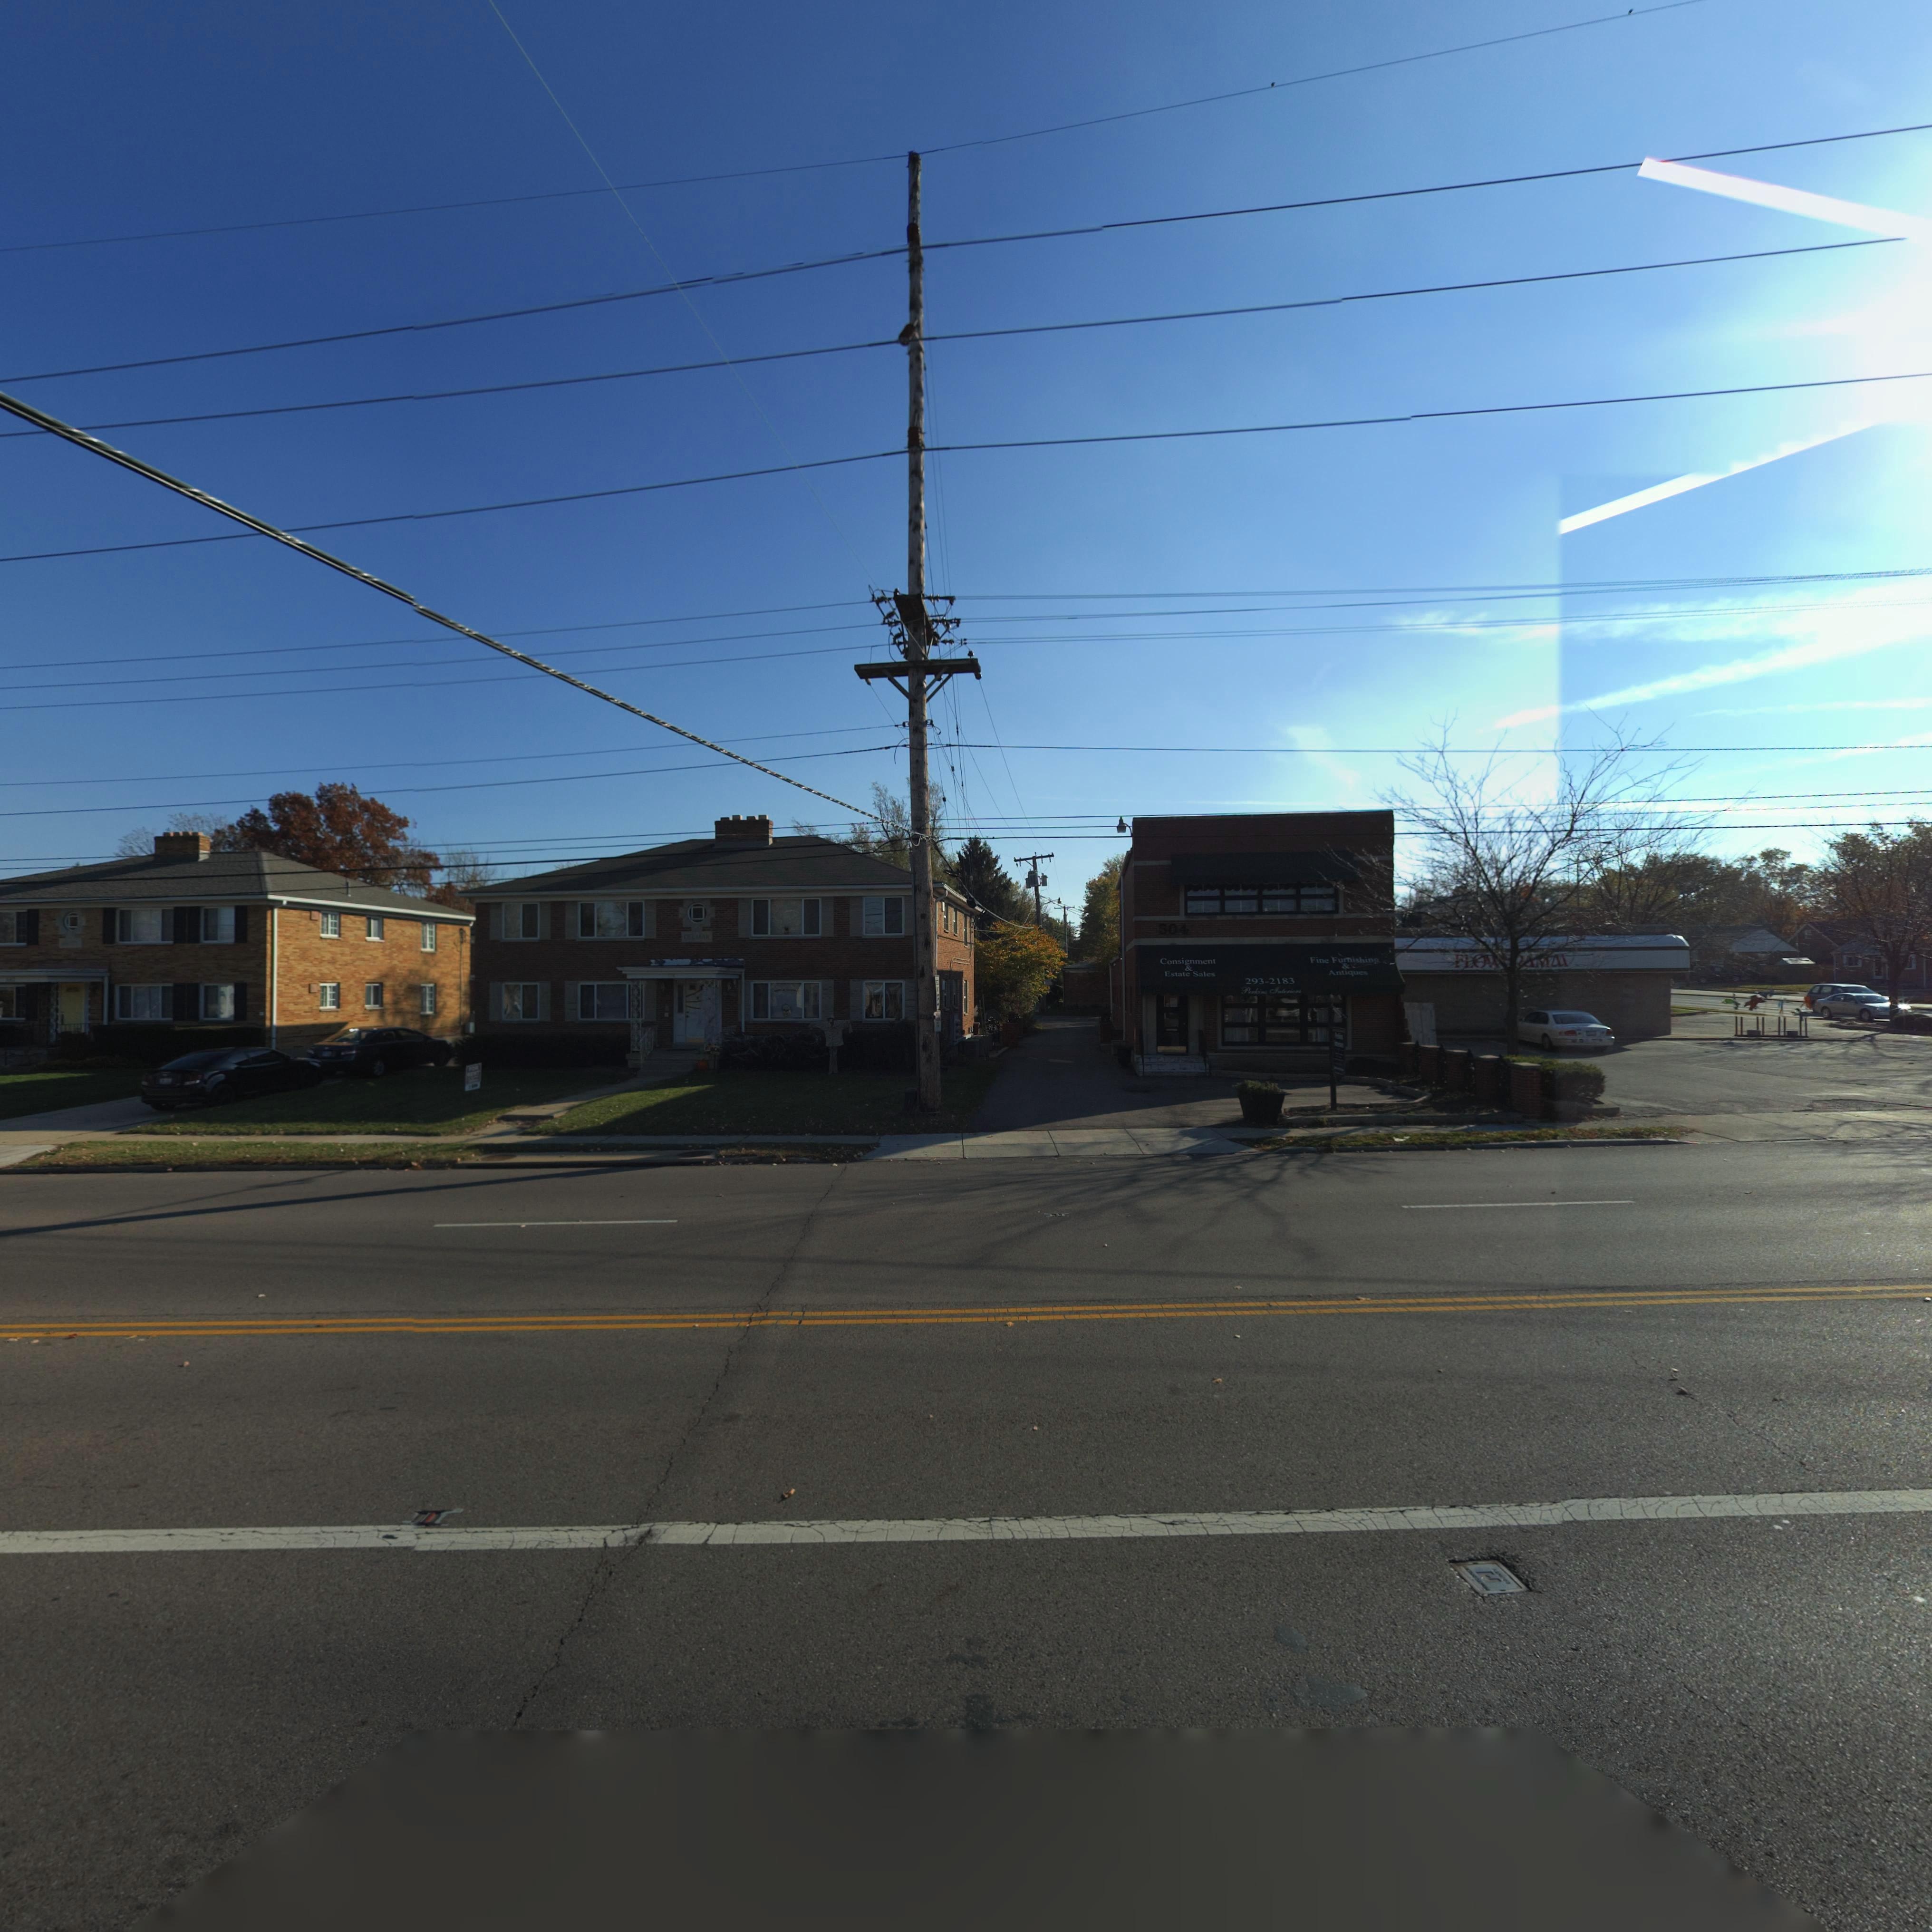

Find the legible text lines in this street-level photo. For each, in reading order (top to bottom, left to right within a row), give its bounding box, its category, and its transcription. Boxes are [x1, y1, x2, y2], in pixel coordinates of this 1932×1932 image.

[1159, 923, 1190, 935] StreetNumber: 504